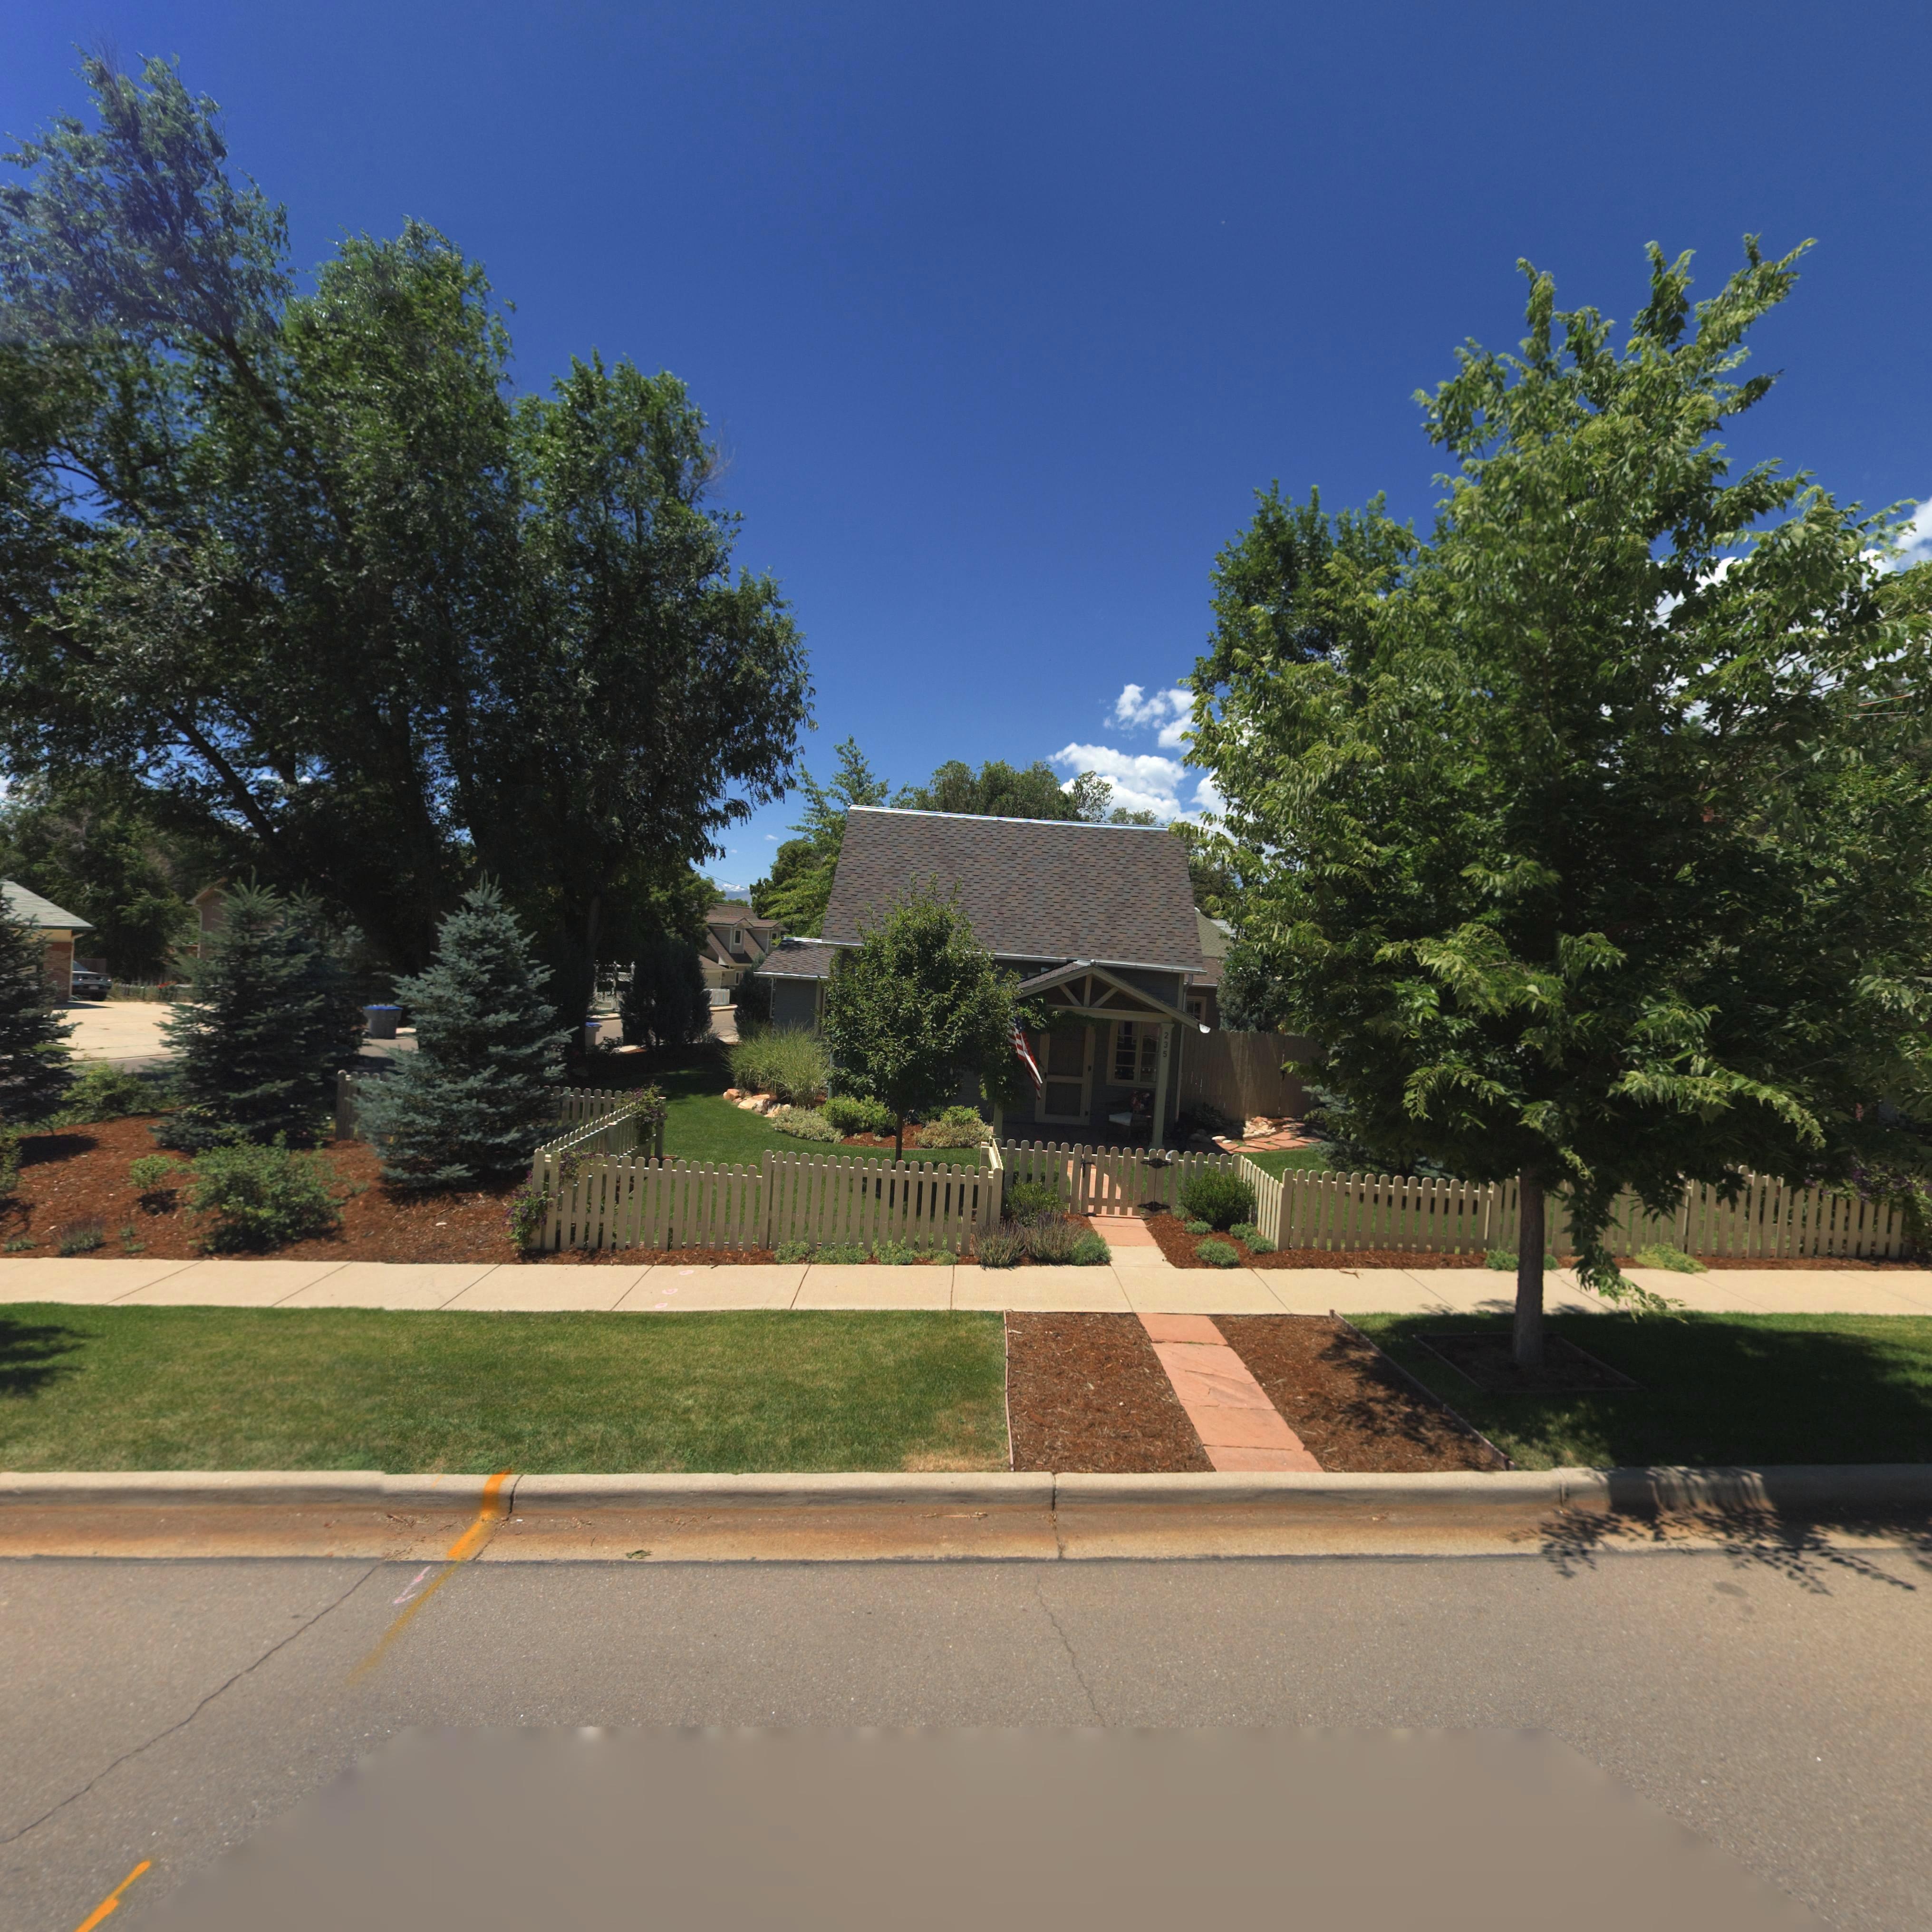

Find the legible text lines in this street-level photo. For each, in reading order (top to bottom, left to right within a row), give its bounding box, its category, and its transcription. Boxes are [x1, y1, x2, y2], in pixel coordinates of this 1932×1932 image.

[1162, 1032, 1169, 1057] StreetNumber: 235